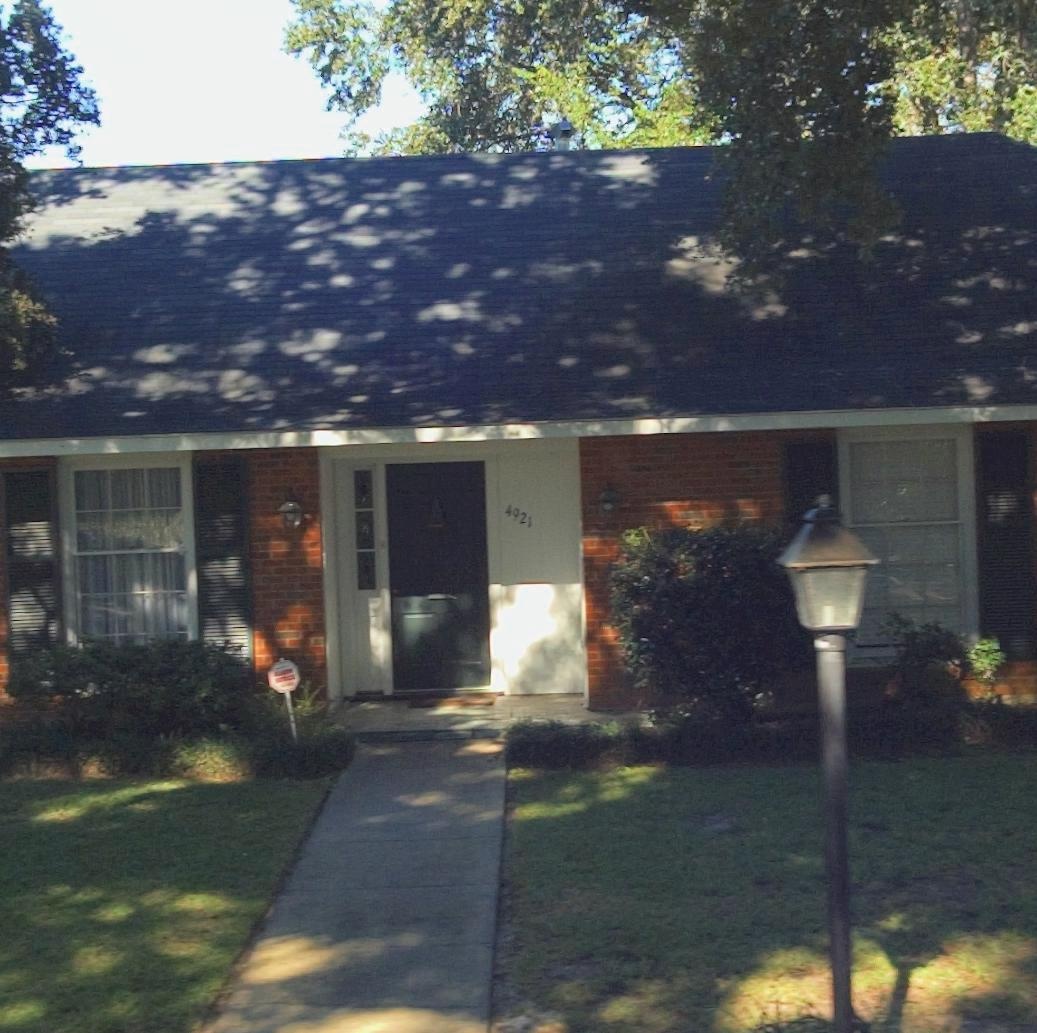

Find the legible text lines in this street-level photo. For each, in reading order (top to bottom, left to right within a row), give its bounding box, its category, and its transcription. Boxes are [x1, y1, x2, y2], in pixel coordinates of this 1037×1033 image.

[502, 501, 535, 531] StreetNumber: 4921